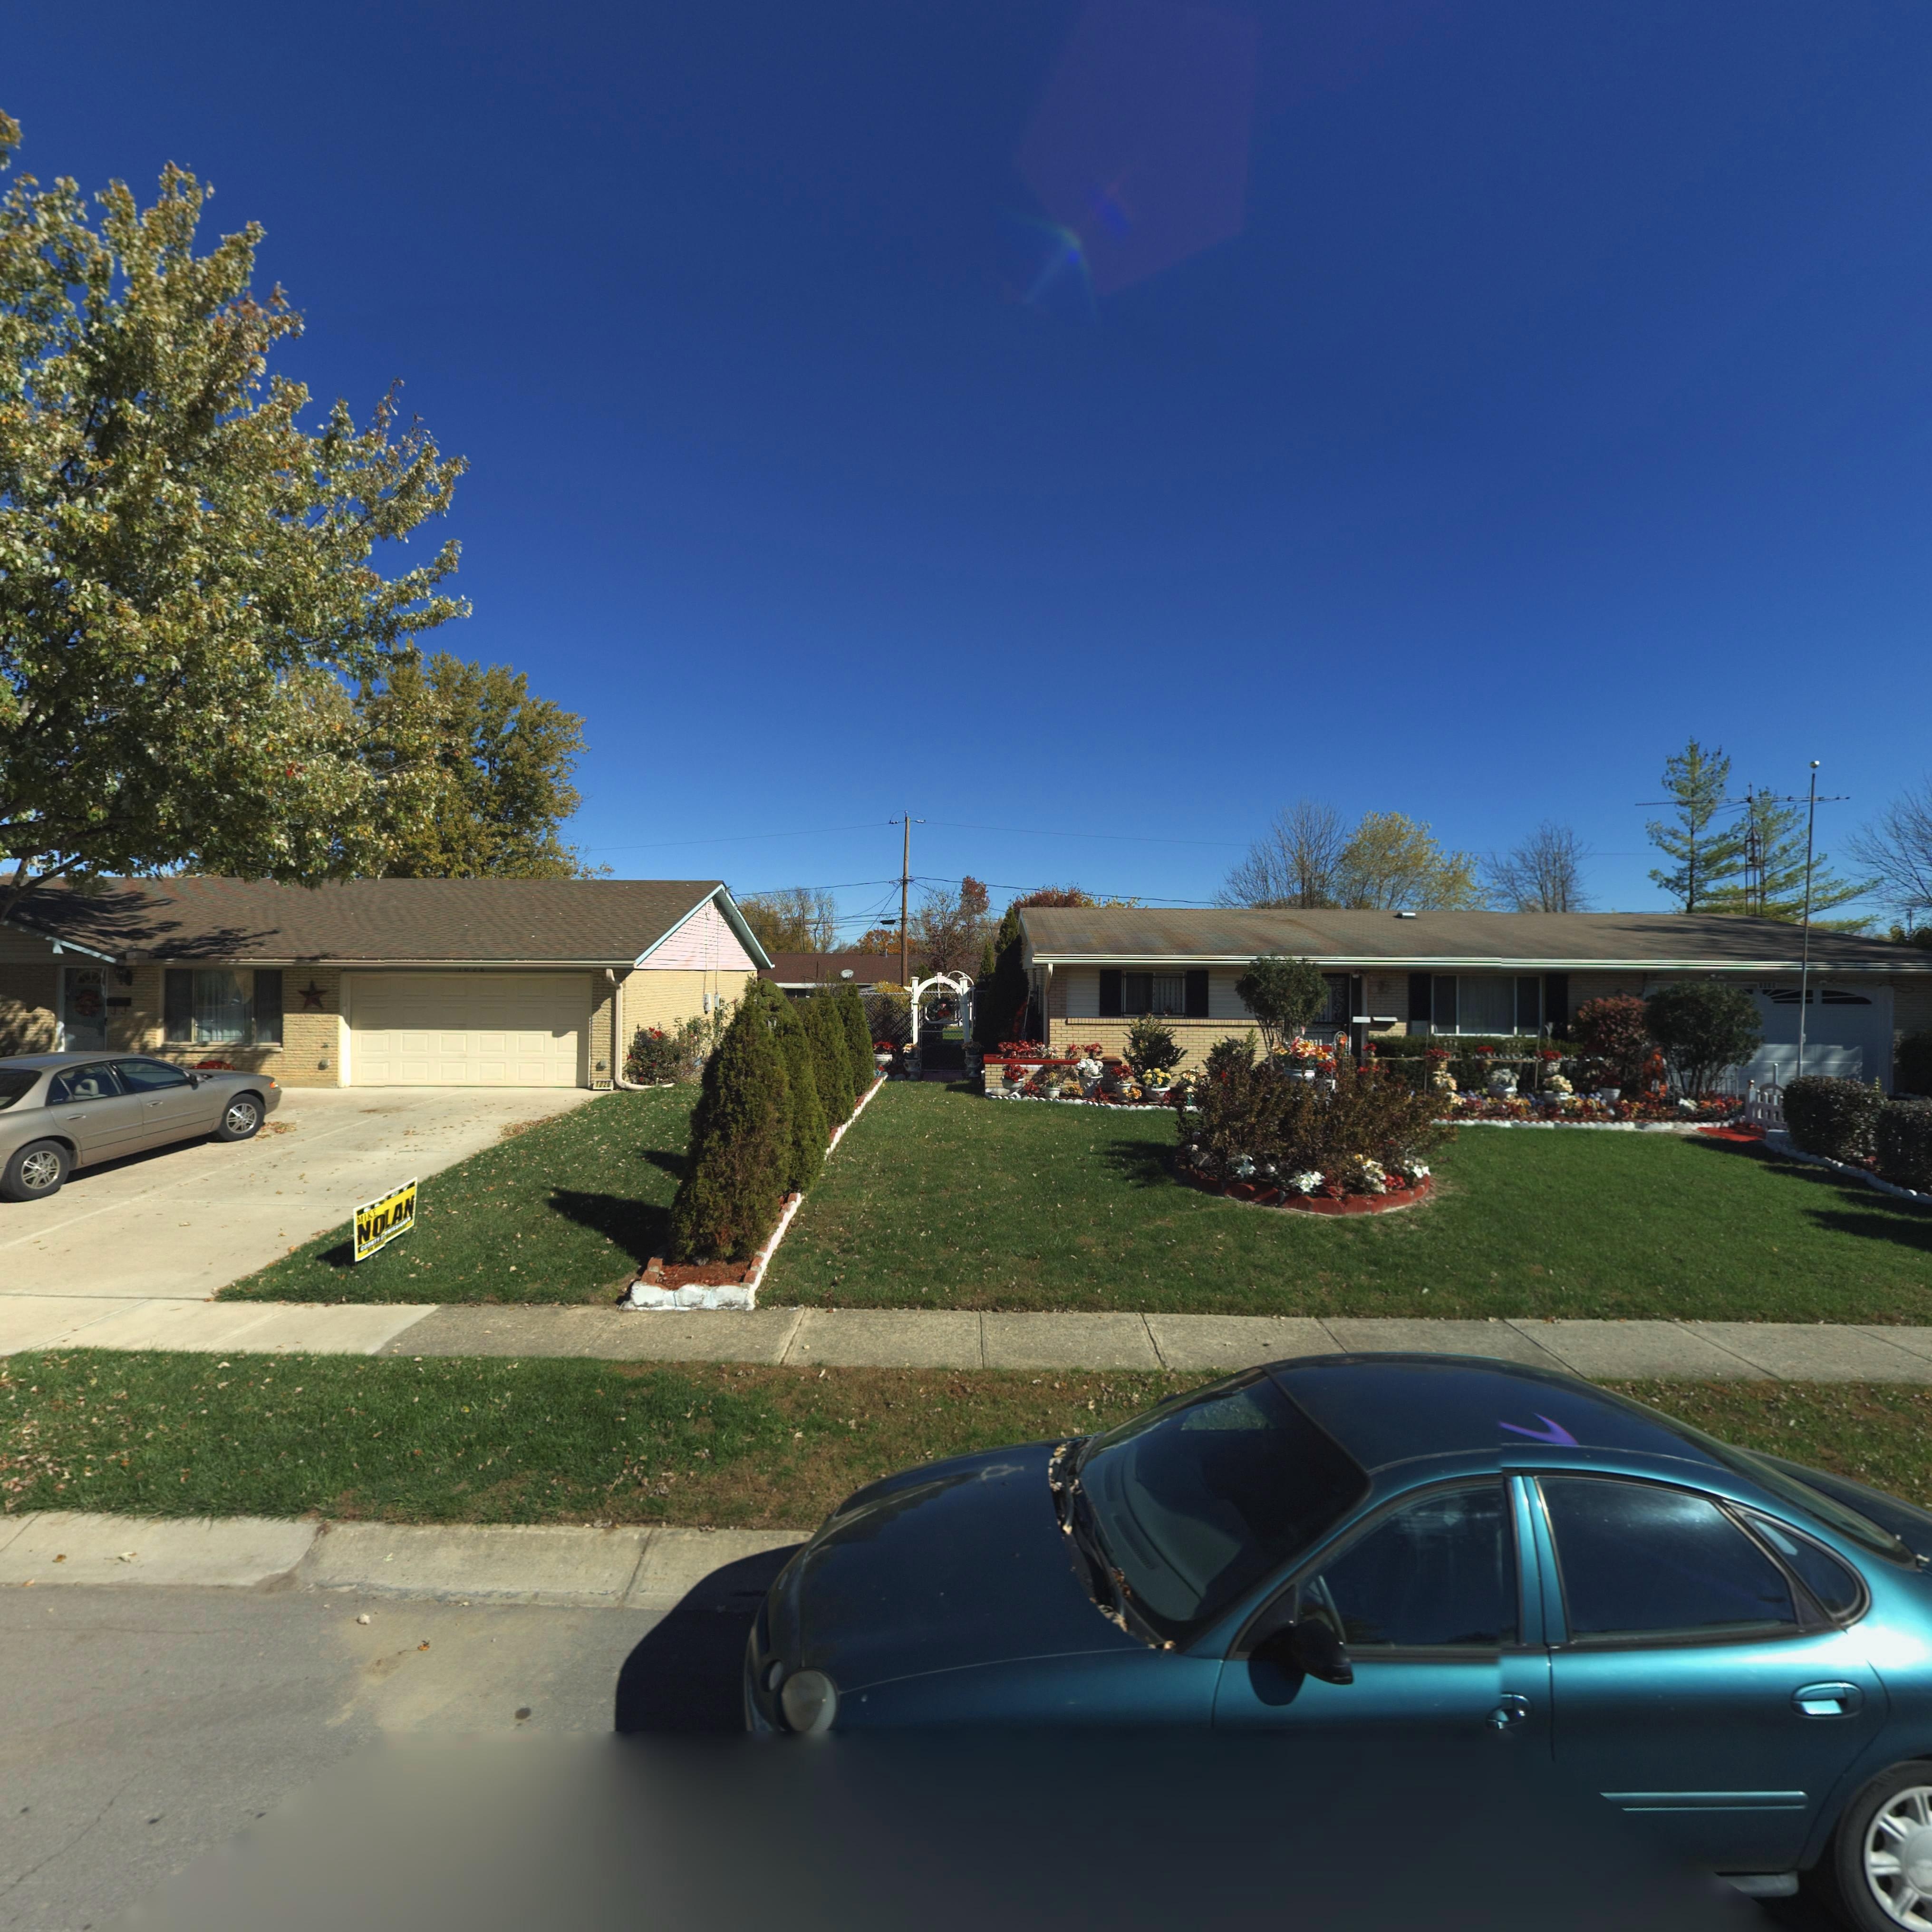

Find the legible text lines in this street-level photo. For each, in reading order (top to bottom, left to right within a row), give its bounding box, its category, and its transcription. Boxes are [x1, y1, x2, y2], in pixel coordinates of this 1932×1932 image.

[595, 1080, 611, 1089] StreetNumber: 1026